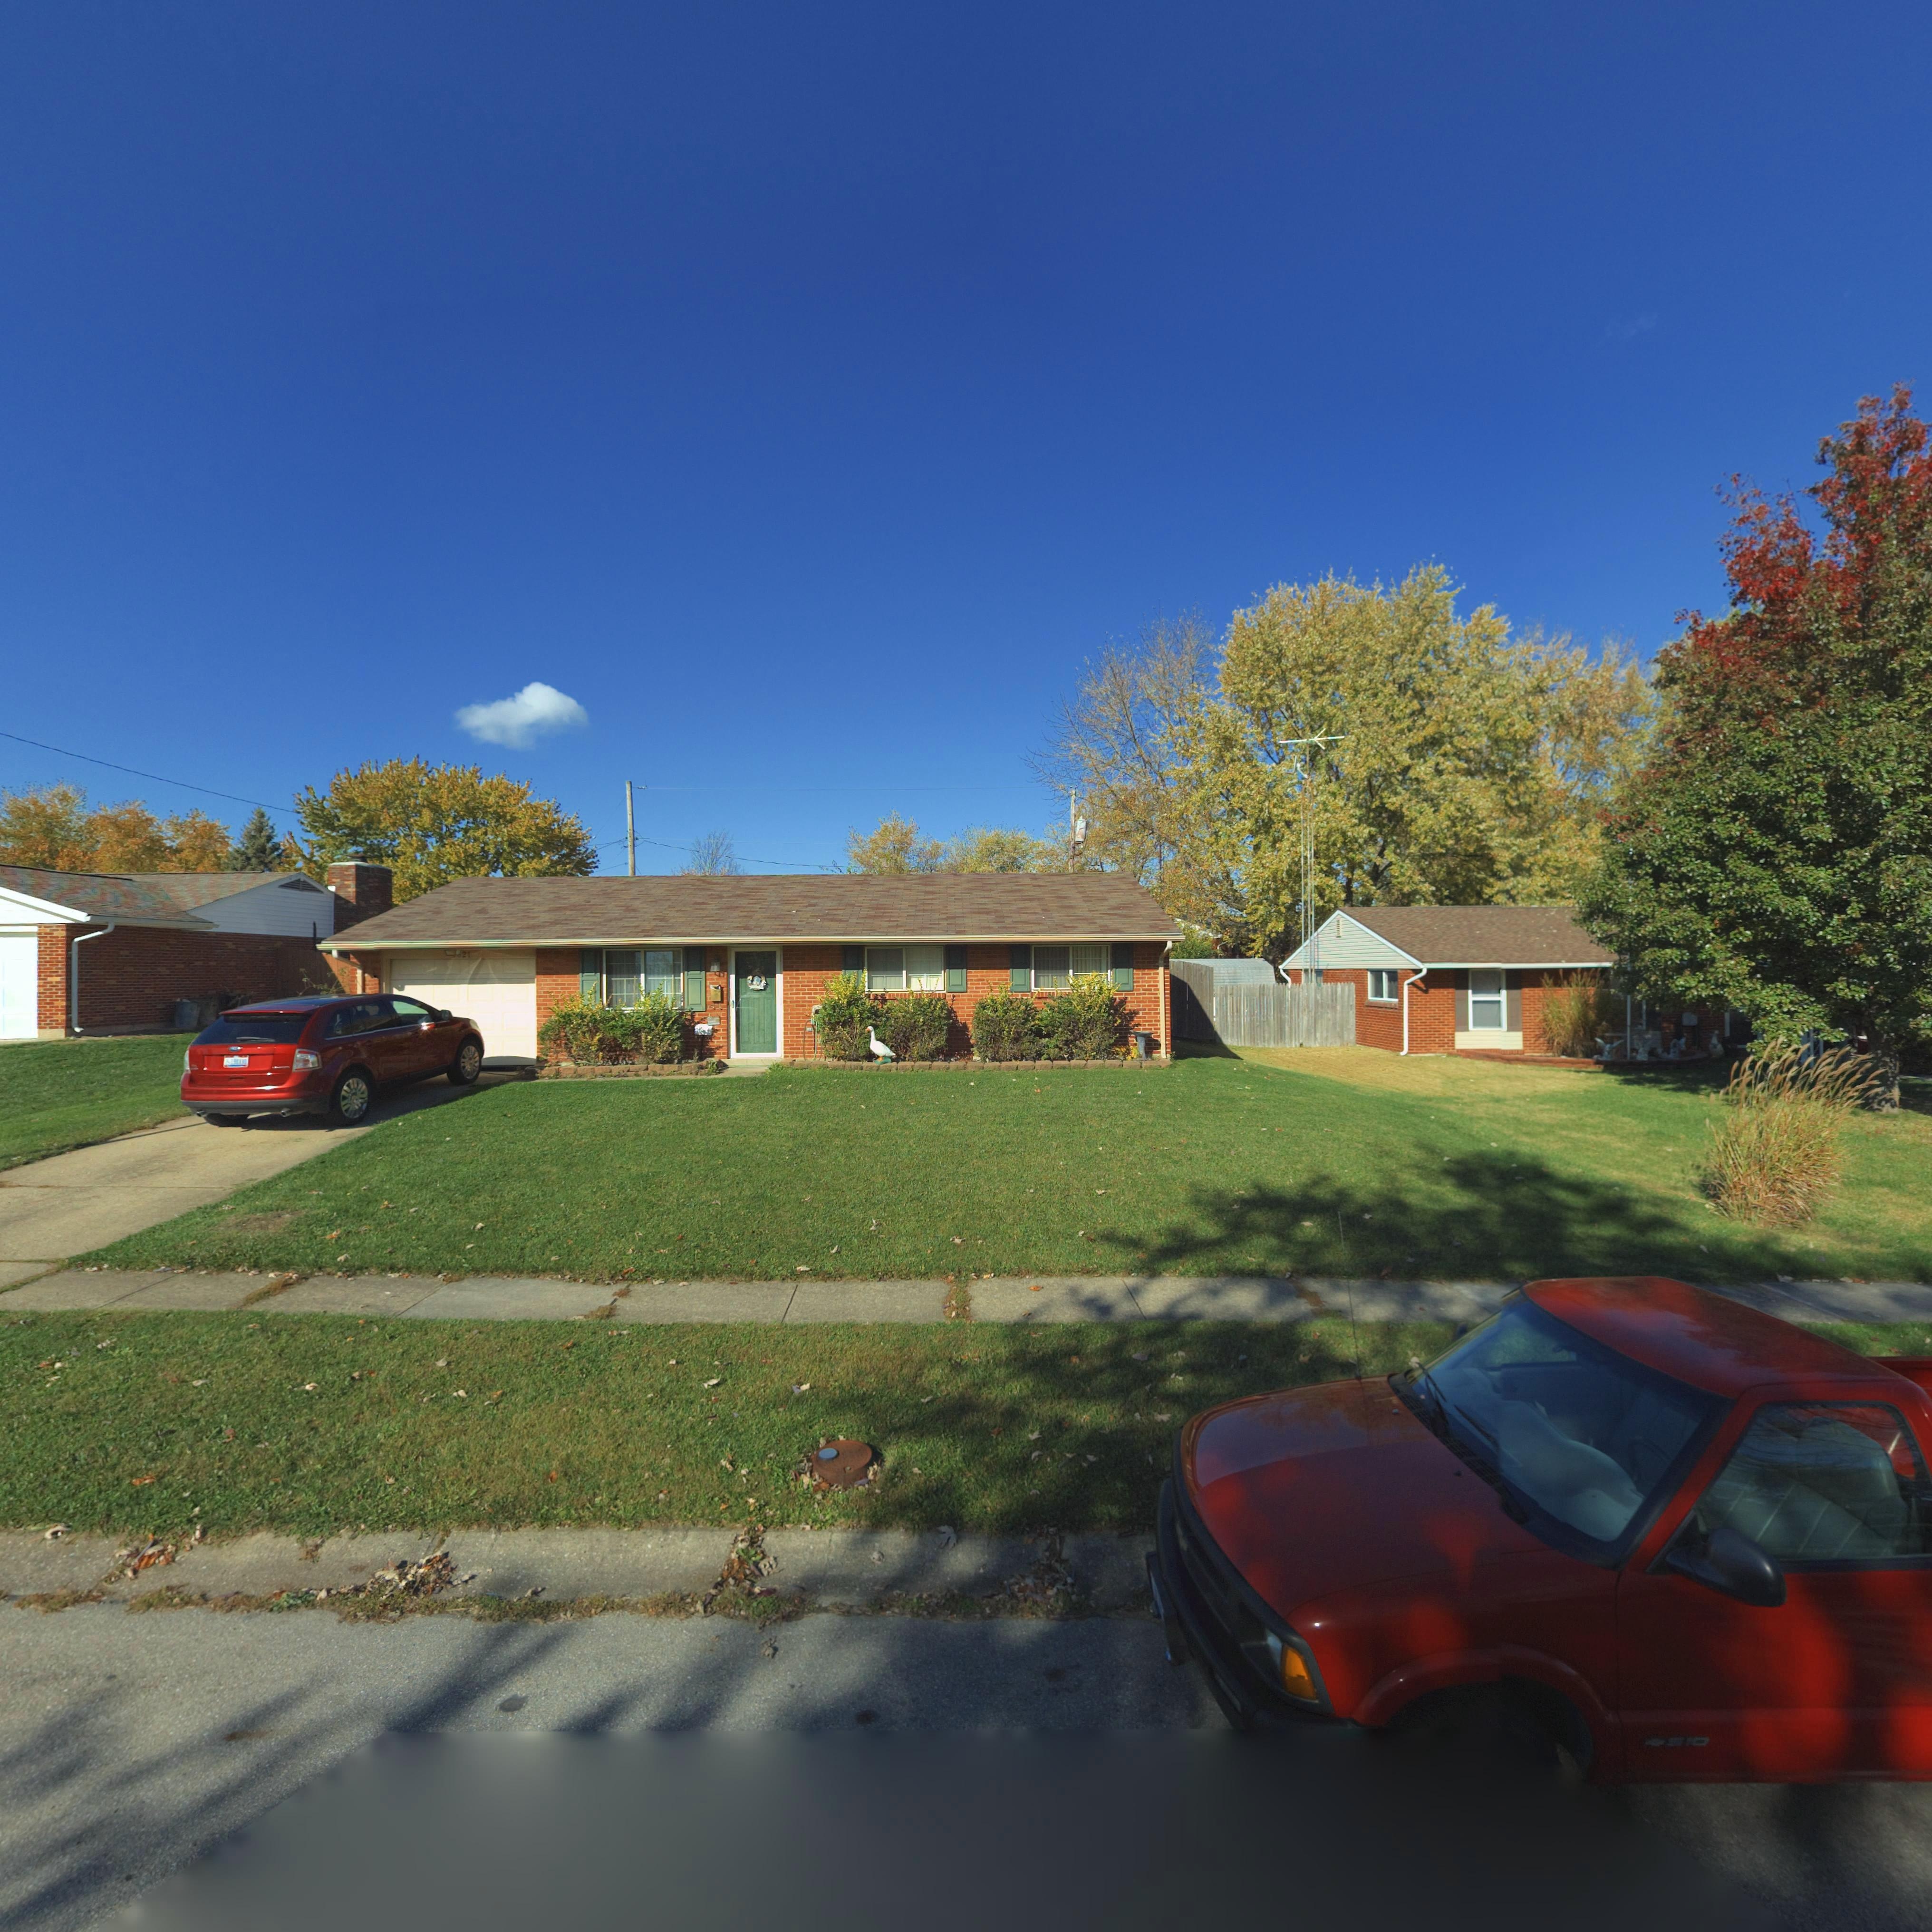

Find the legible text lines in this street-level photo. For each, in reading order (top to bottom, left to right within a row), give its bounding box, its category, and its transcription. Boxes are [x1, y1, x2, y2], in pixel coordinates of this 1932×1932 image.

[461, 950, 471, 959] StreetNumber: 21